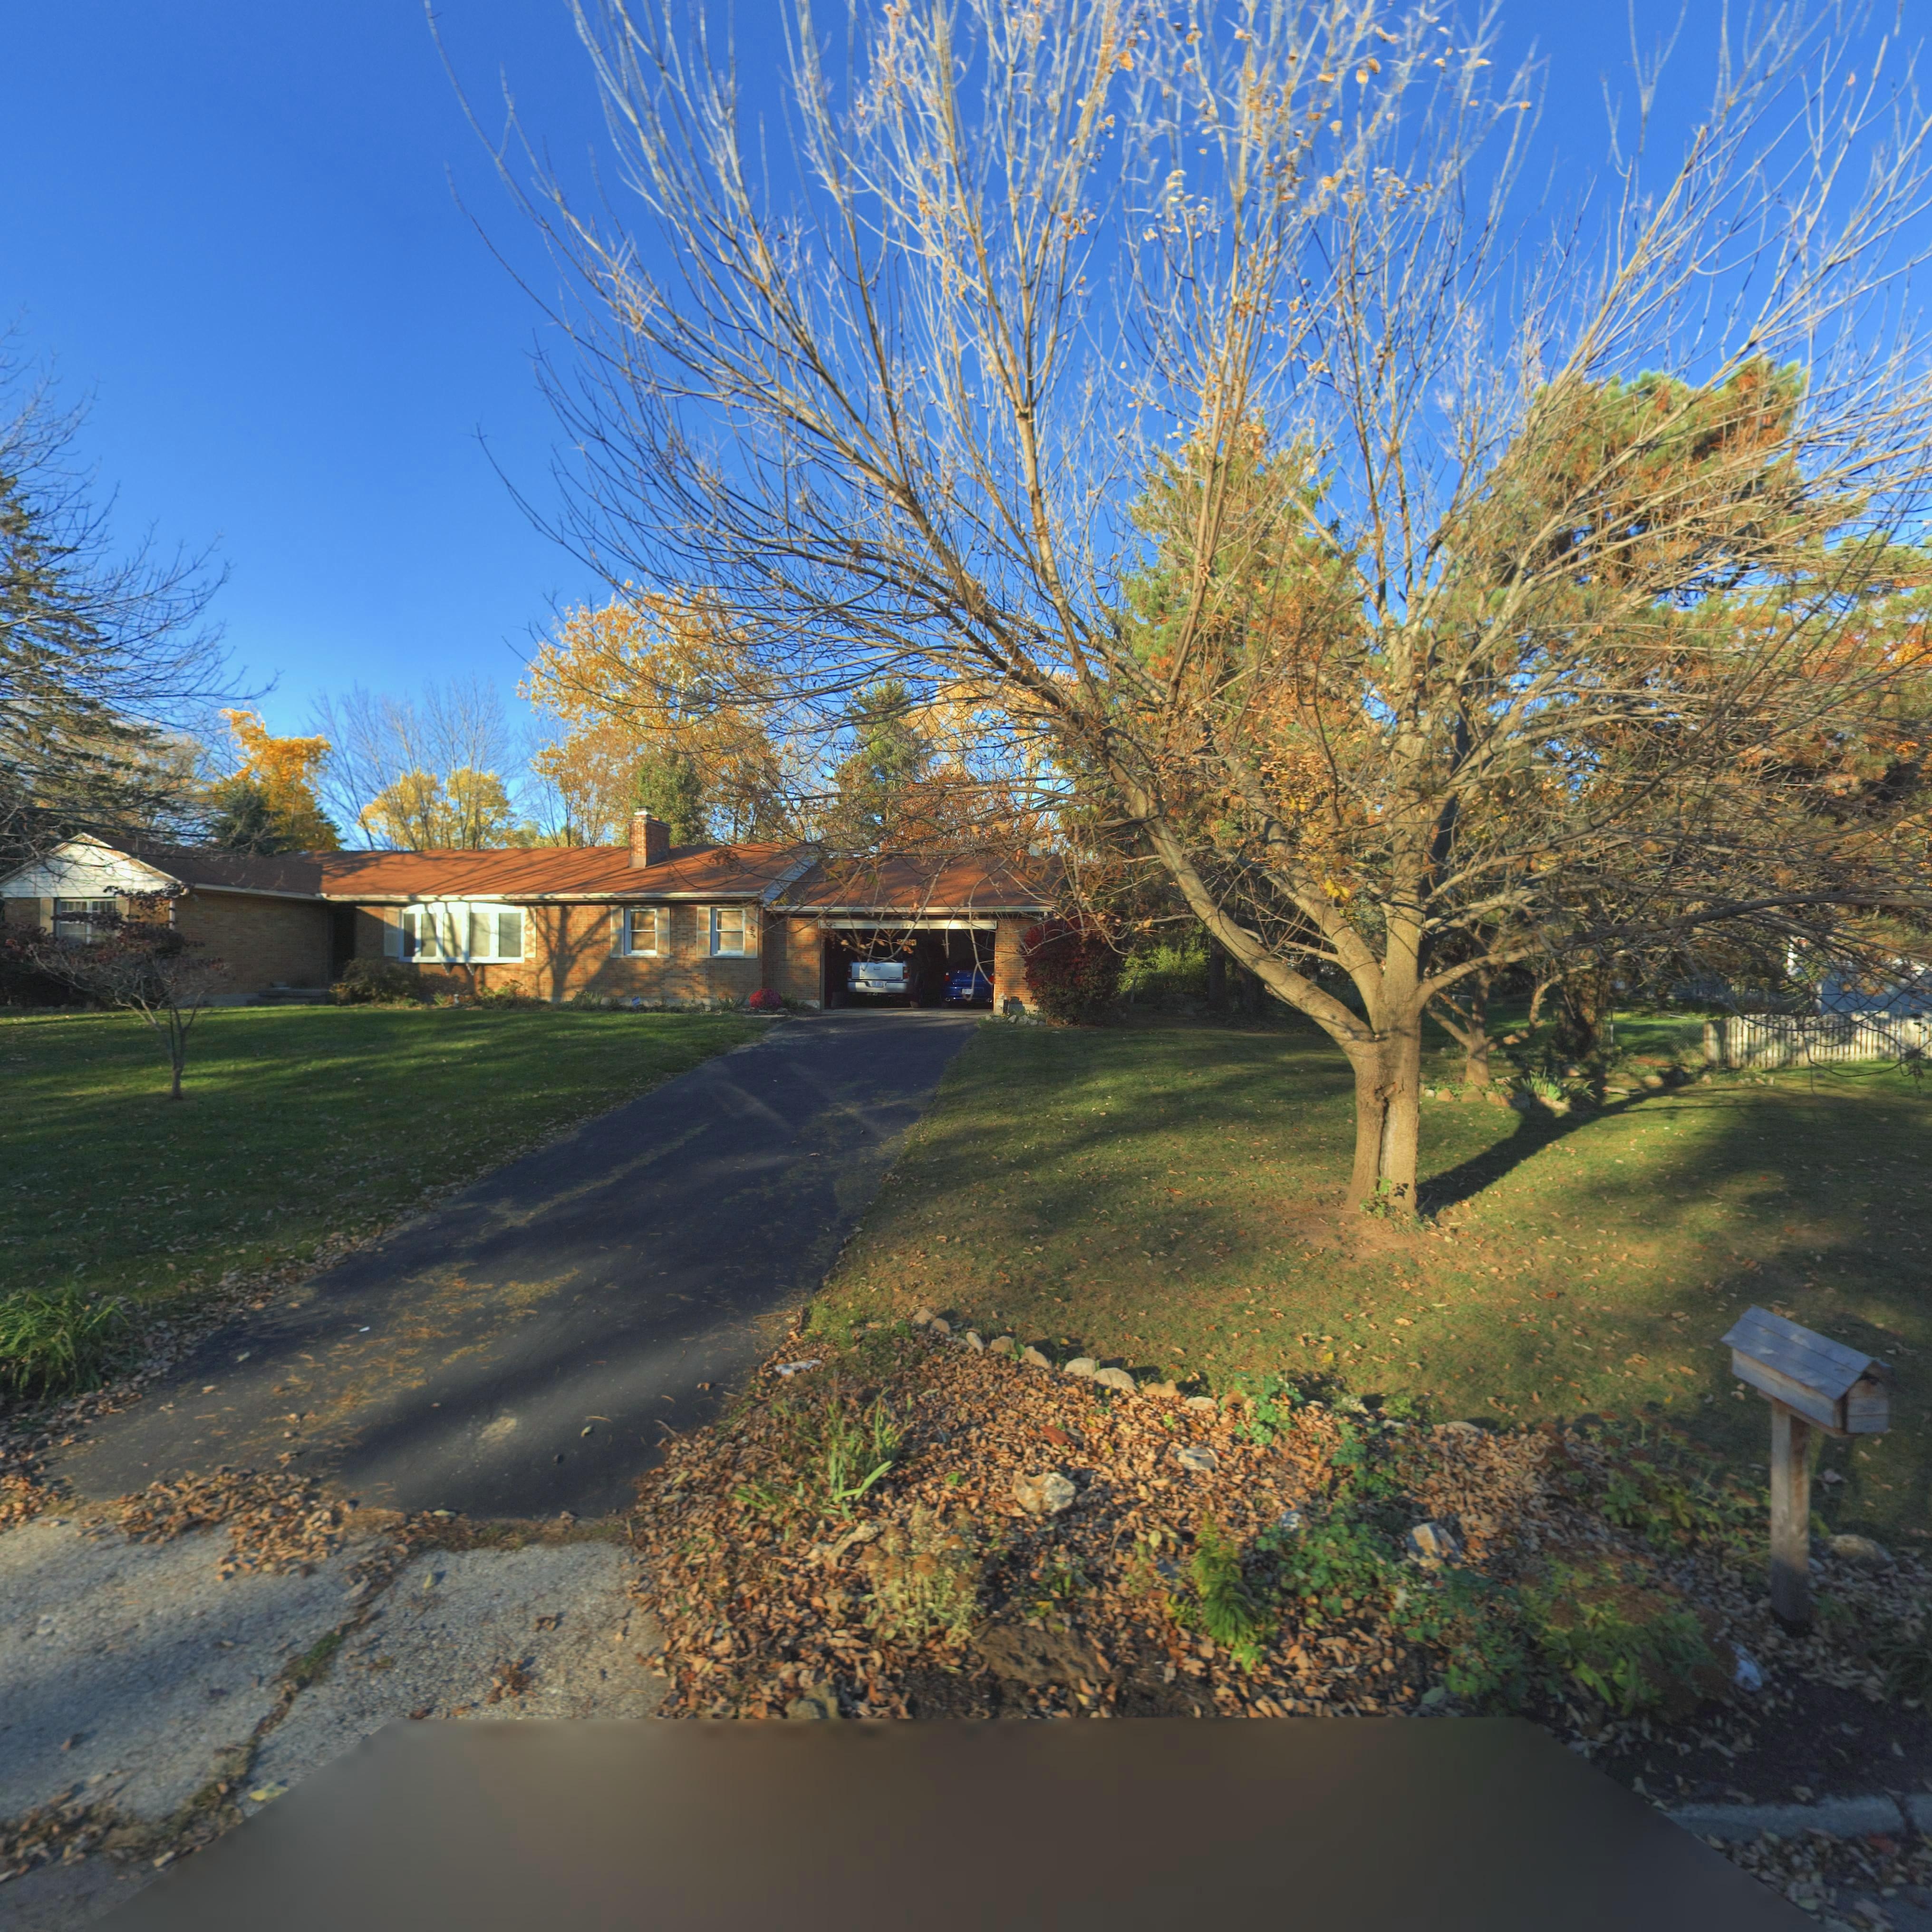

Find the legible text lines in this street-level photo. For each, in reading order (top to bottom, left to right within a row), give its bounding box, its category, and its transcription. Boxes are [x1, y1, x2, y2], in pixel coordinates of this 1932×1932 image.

[900, 923, 913, 929] StreetNumber: 697